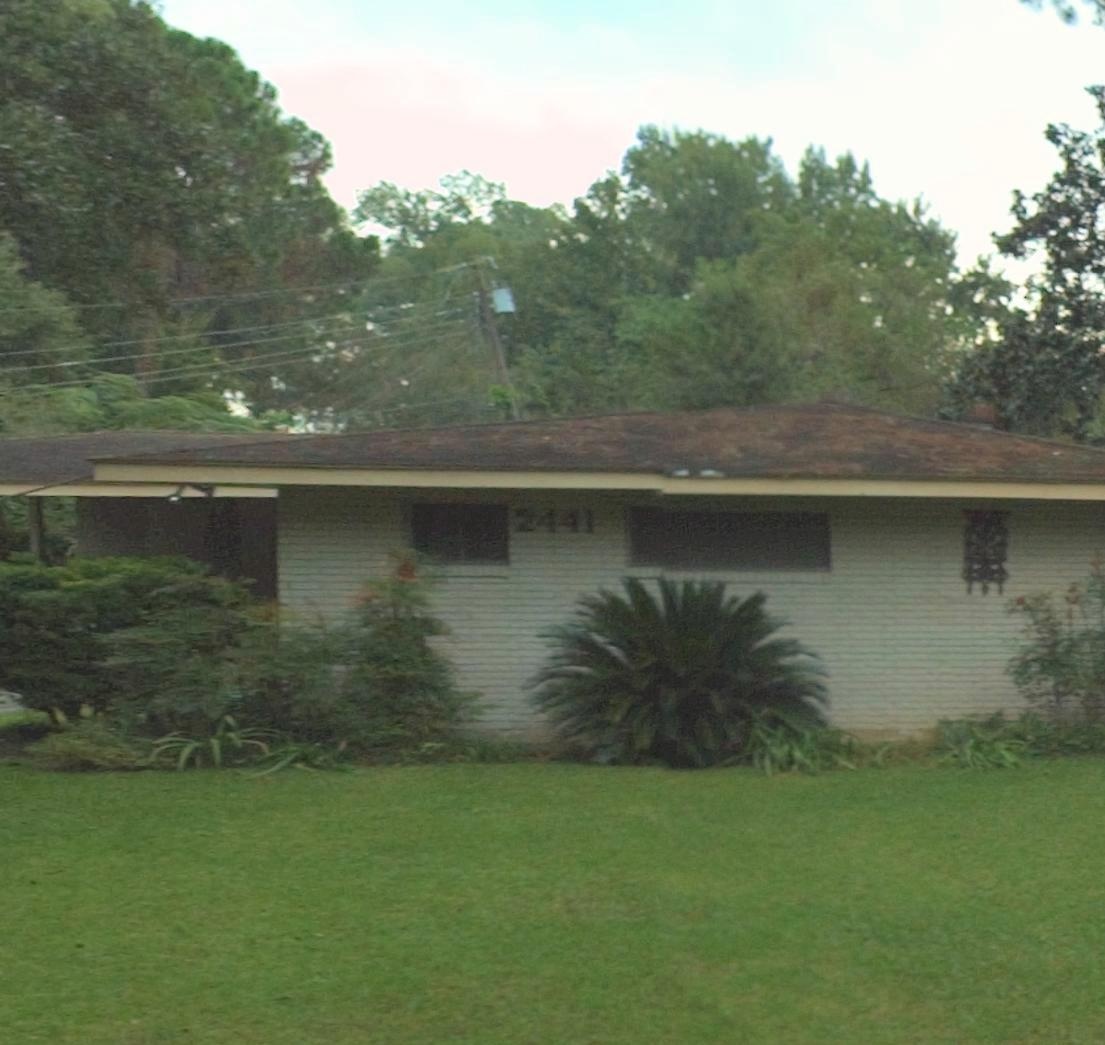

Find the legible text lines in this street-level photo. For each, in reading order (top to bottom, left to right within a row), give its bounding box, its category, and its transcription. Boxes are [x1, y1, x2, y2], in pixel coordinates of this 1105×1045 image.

[512, 507, 596, 533] StreetNumber: 2441